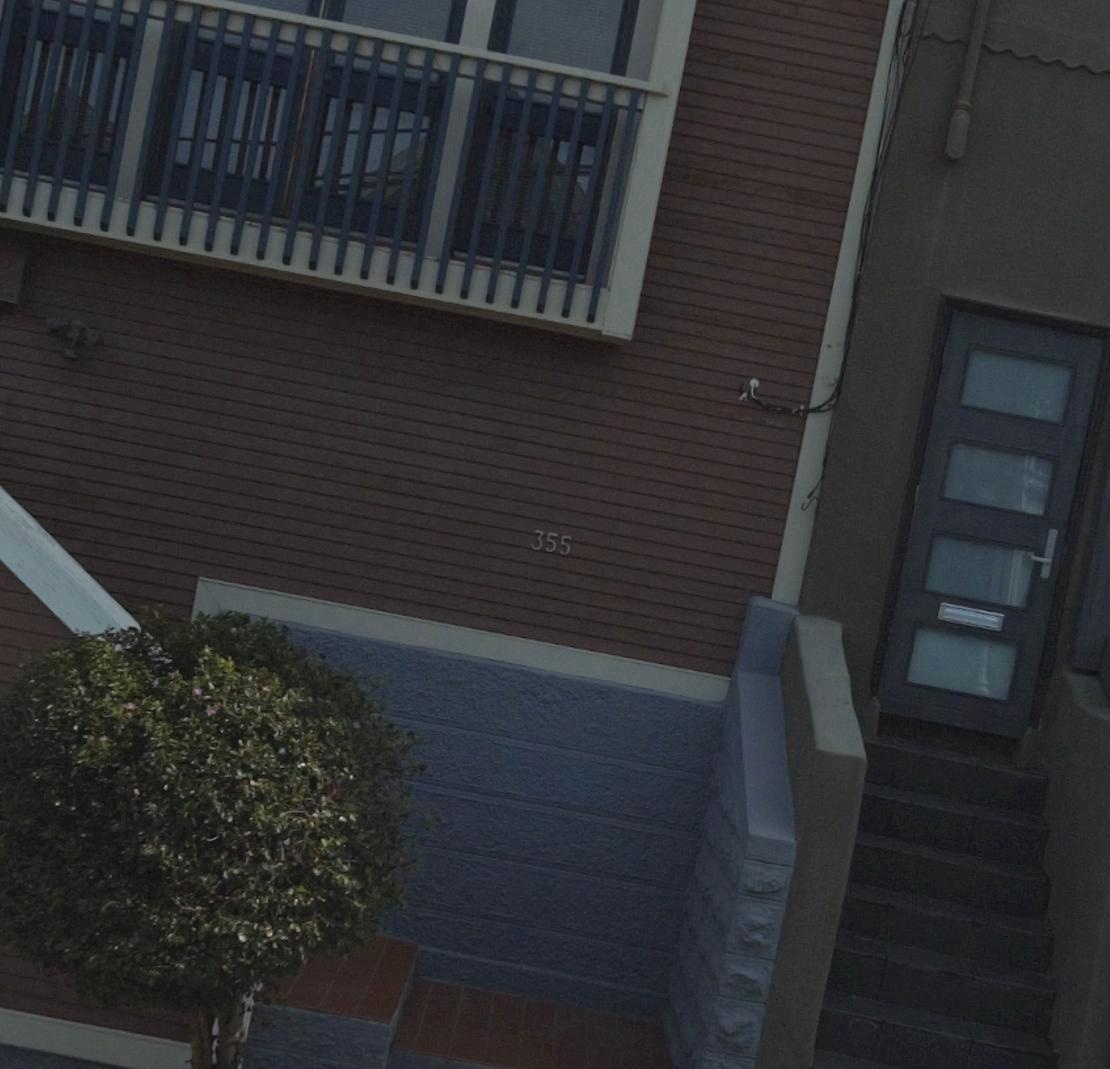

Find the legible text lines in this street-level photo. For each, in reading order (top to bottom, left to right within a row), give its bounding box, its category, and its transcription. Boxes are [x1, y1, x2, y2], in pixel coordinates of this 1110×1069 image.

[526, 525, 576, 560] StreetNumber: 355